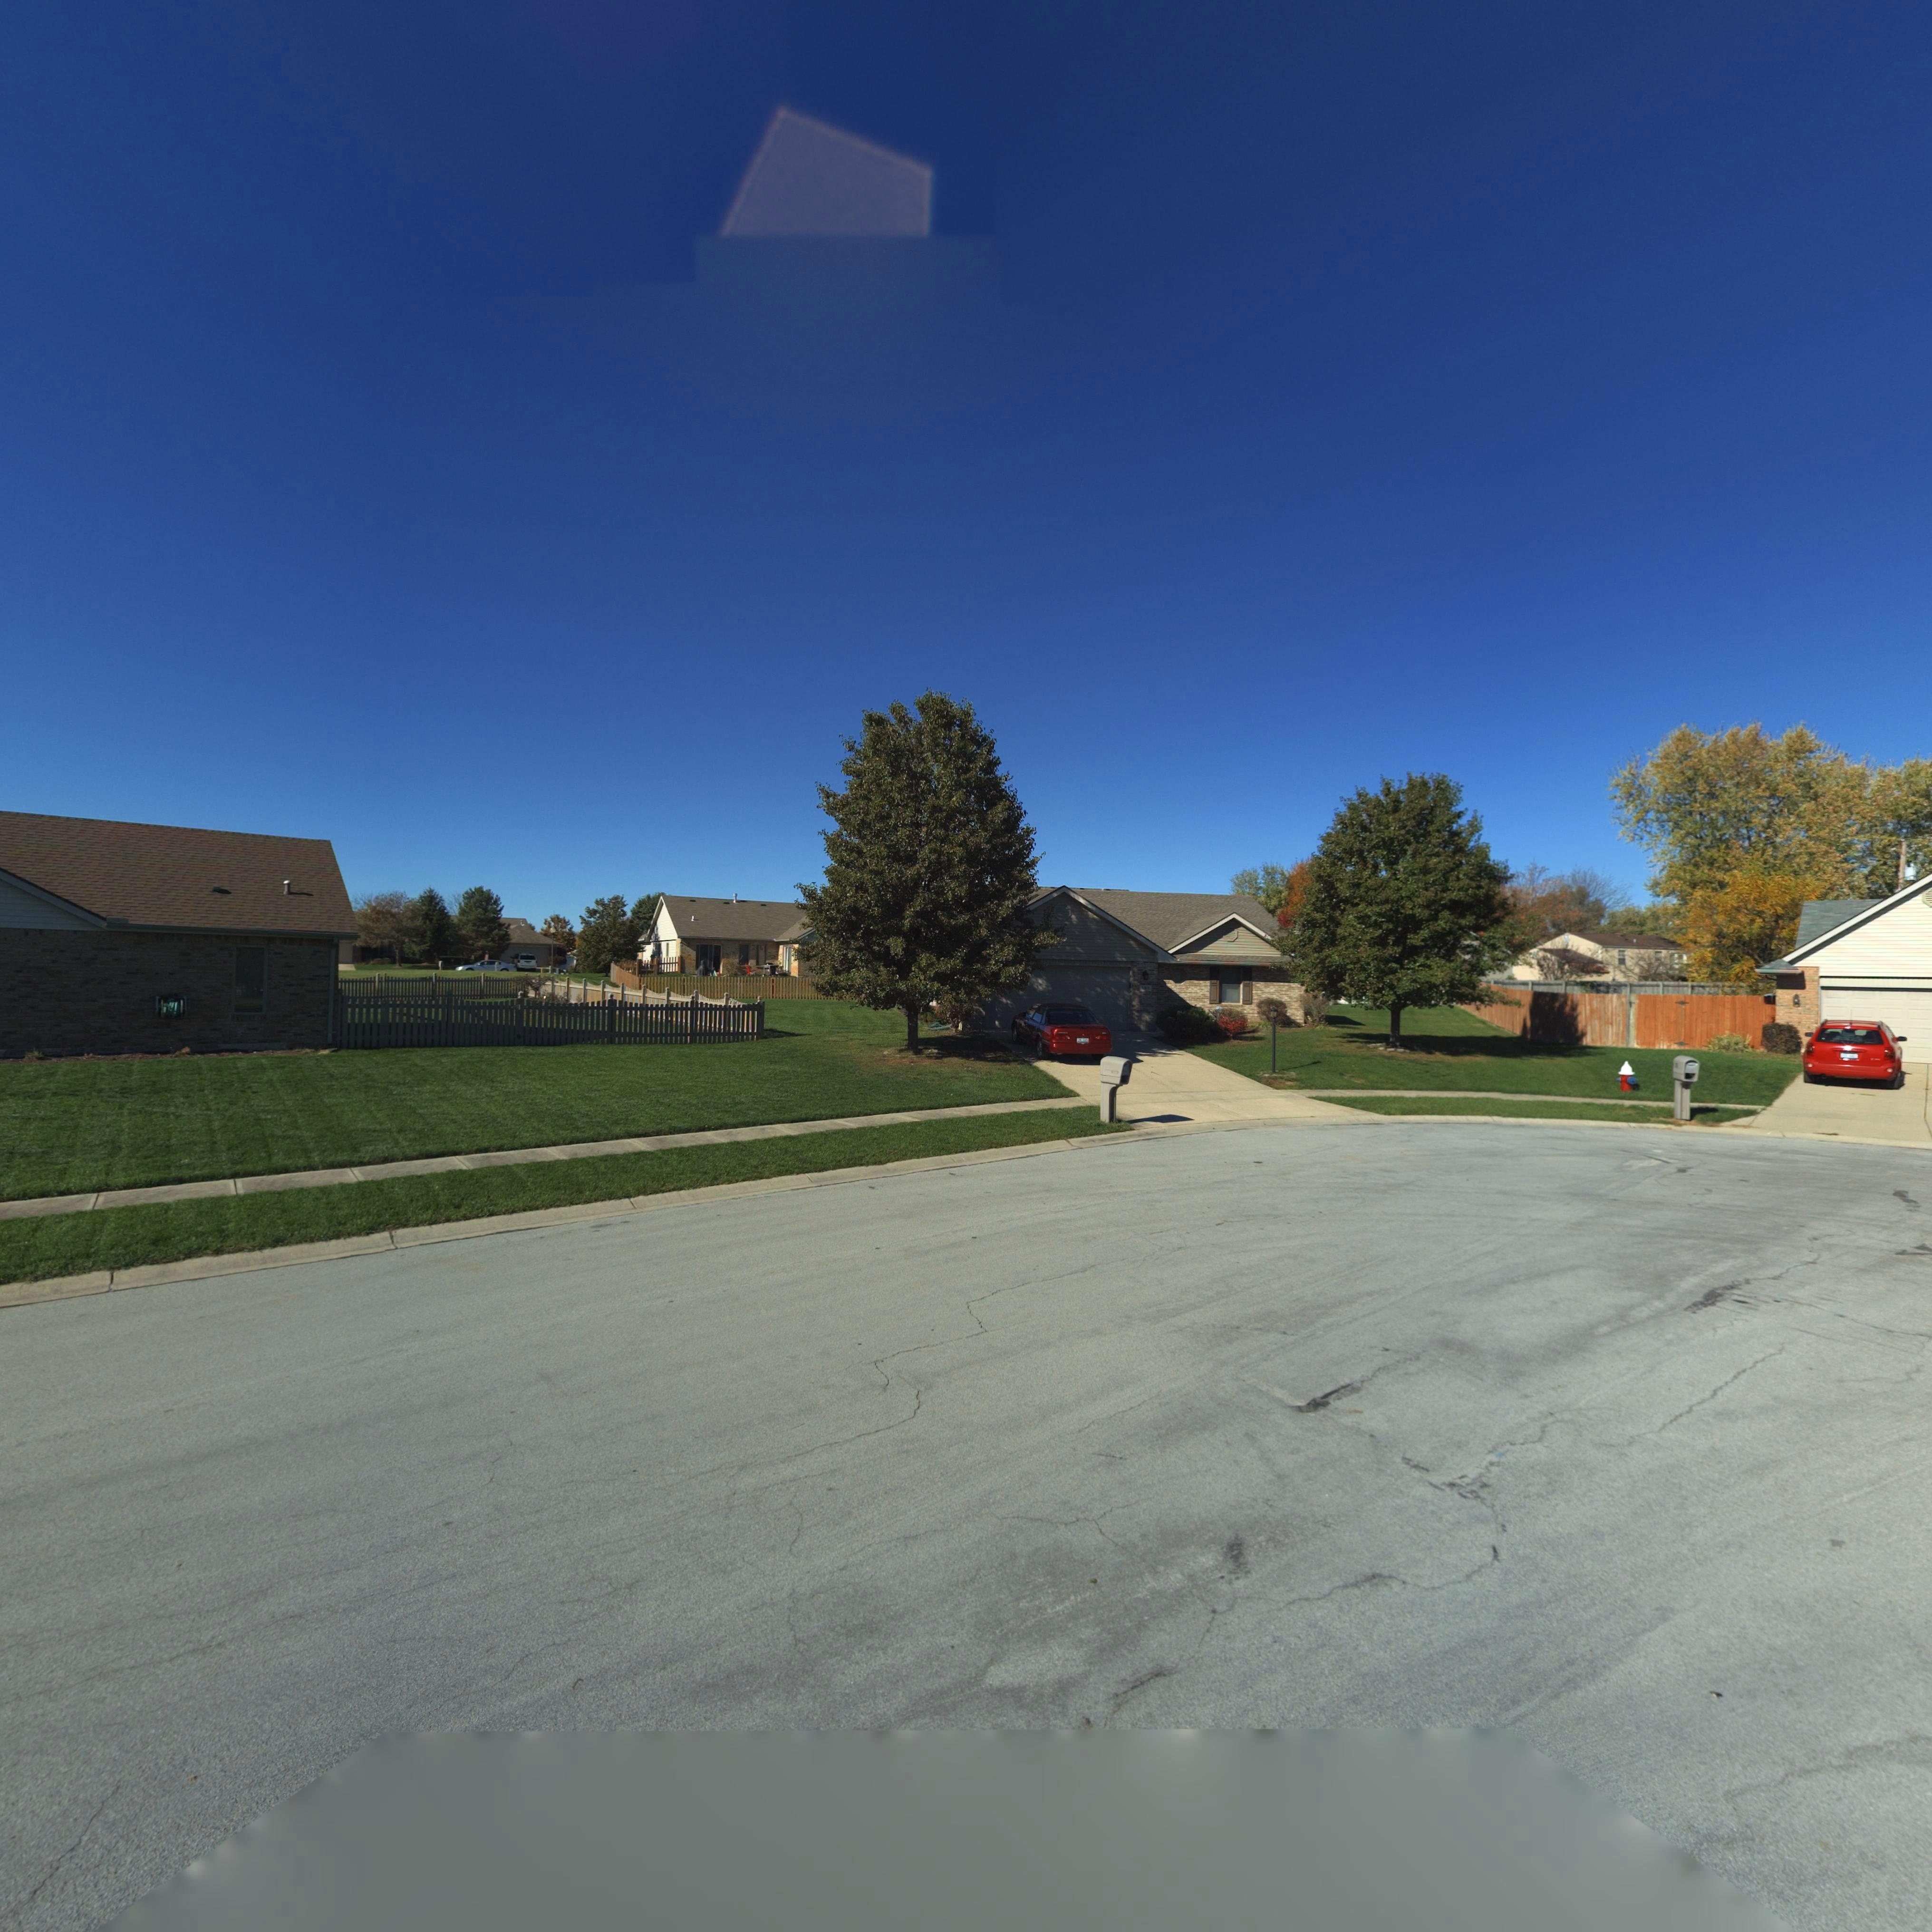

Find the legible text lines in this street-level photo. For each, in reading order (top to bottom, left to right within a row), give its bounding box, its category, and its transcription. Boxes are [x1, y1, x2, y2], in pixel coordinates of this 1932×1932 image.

[1141, 986, 1150, 990] StreetNumber: 1**